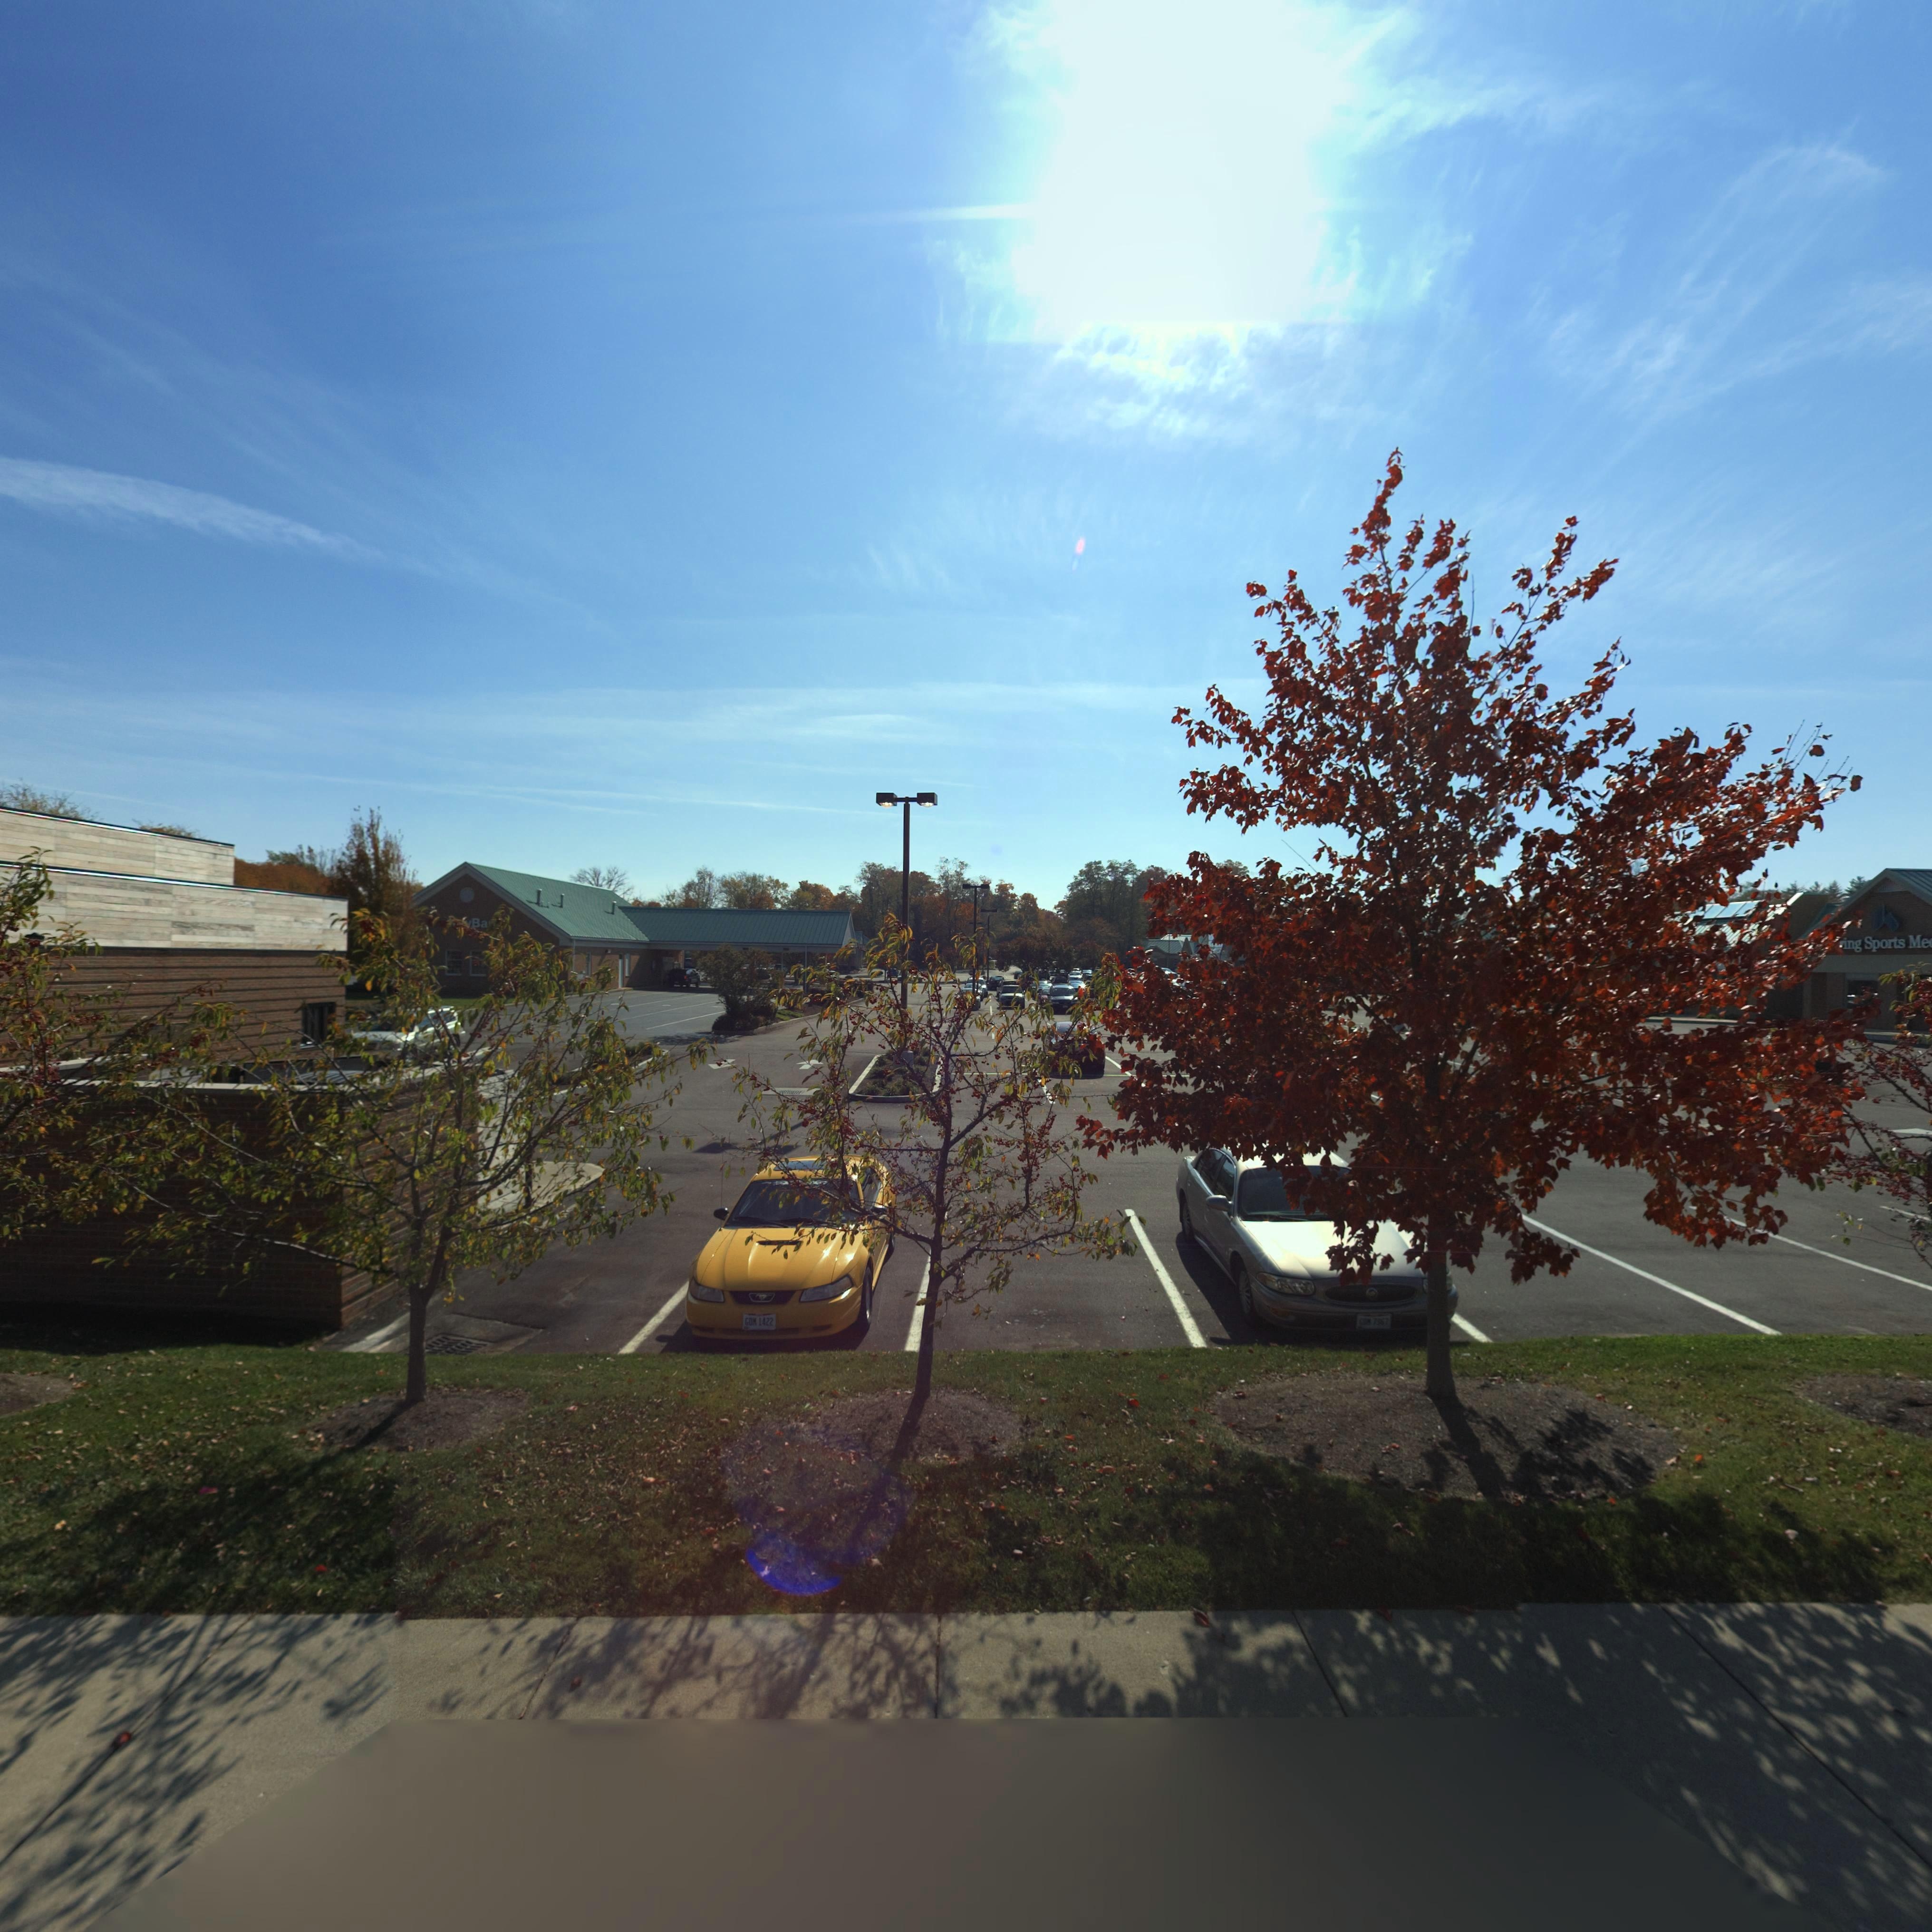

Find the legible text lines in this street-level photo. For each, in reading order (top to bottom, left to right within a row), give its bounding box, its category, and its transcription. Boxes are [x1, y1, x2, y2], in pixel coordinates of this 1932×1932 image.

[471, 917, 489, 929] BusinessName: Ba
[1842, 933, 1930, 954] BusinessName: ing Sports Me